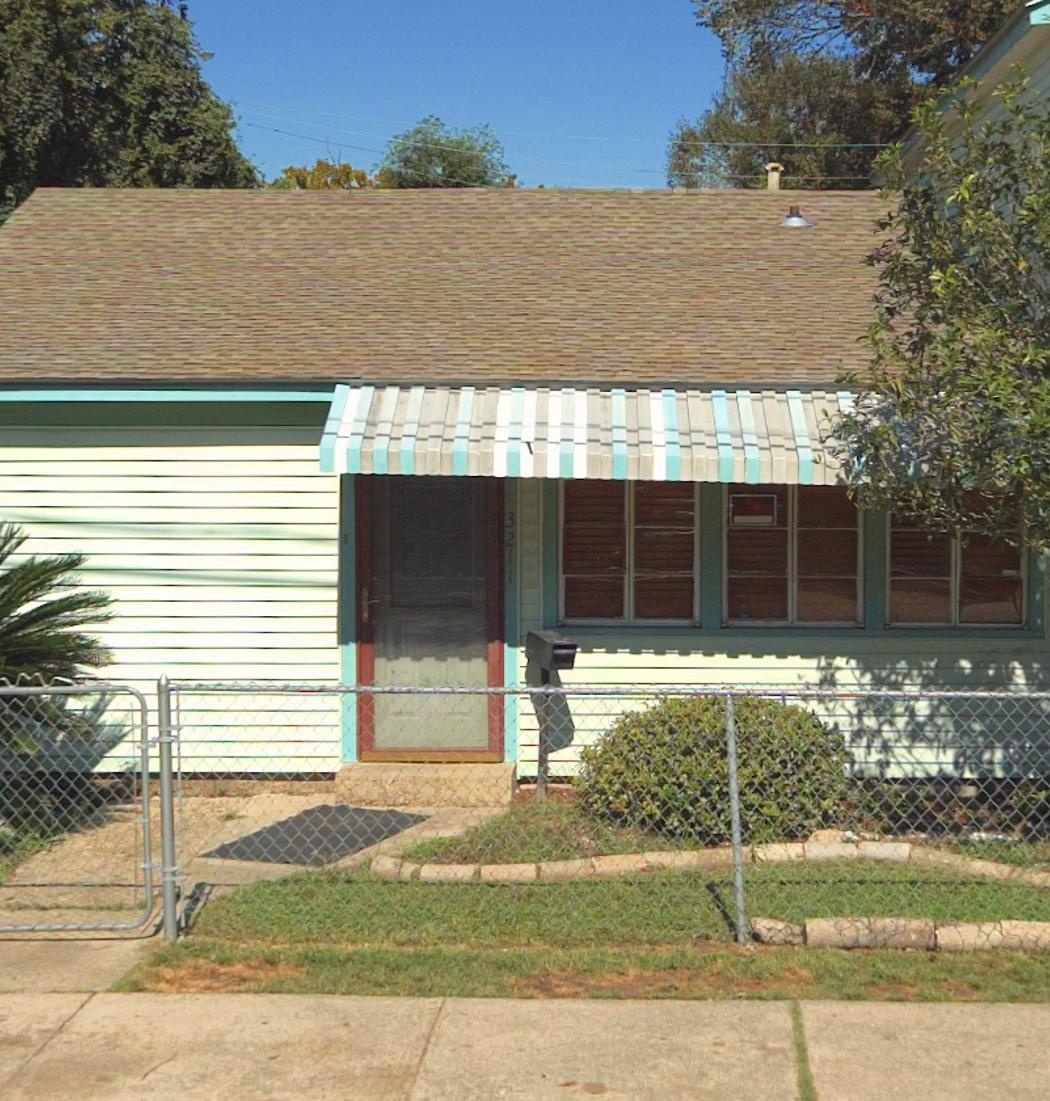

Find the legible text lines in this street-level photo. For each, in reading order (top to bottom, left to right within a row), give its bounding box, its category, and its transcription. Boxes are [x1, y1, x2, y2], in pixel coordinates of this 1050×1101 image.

[505, 509, 516, 586] StreetNumber: 3211